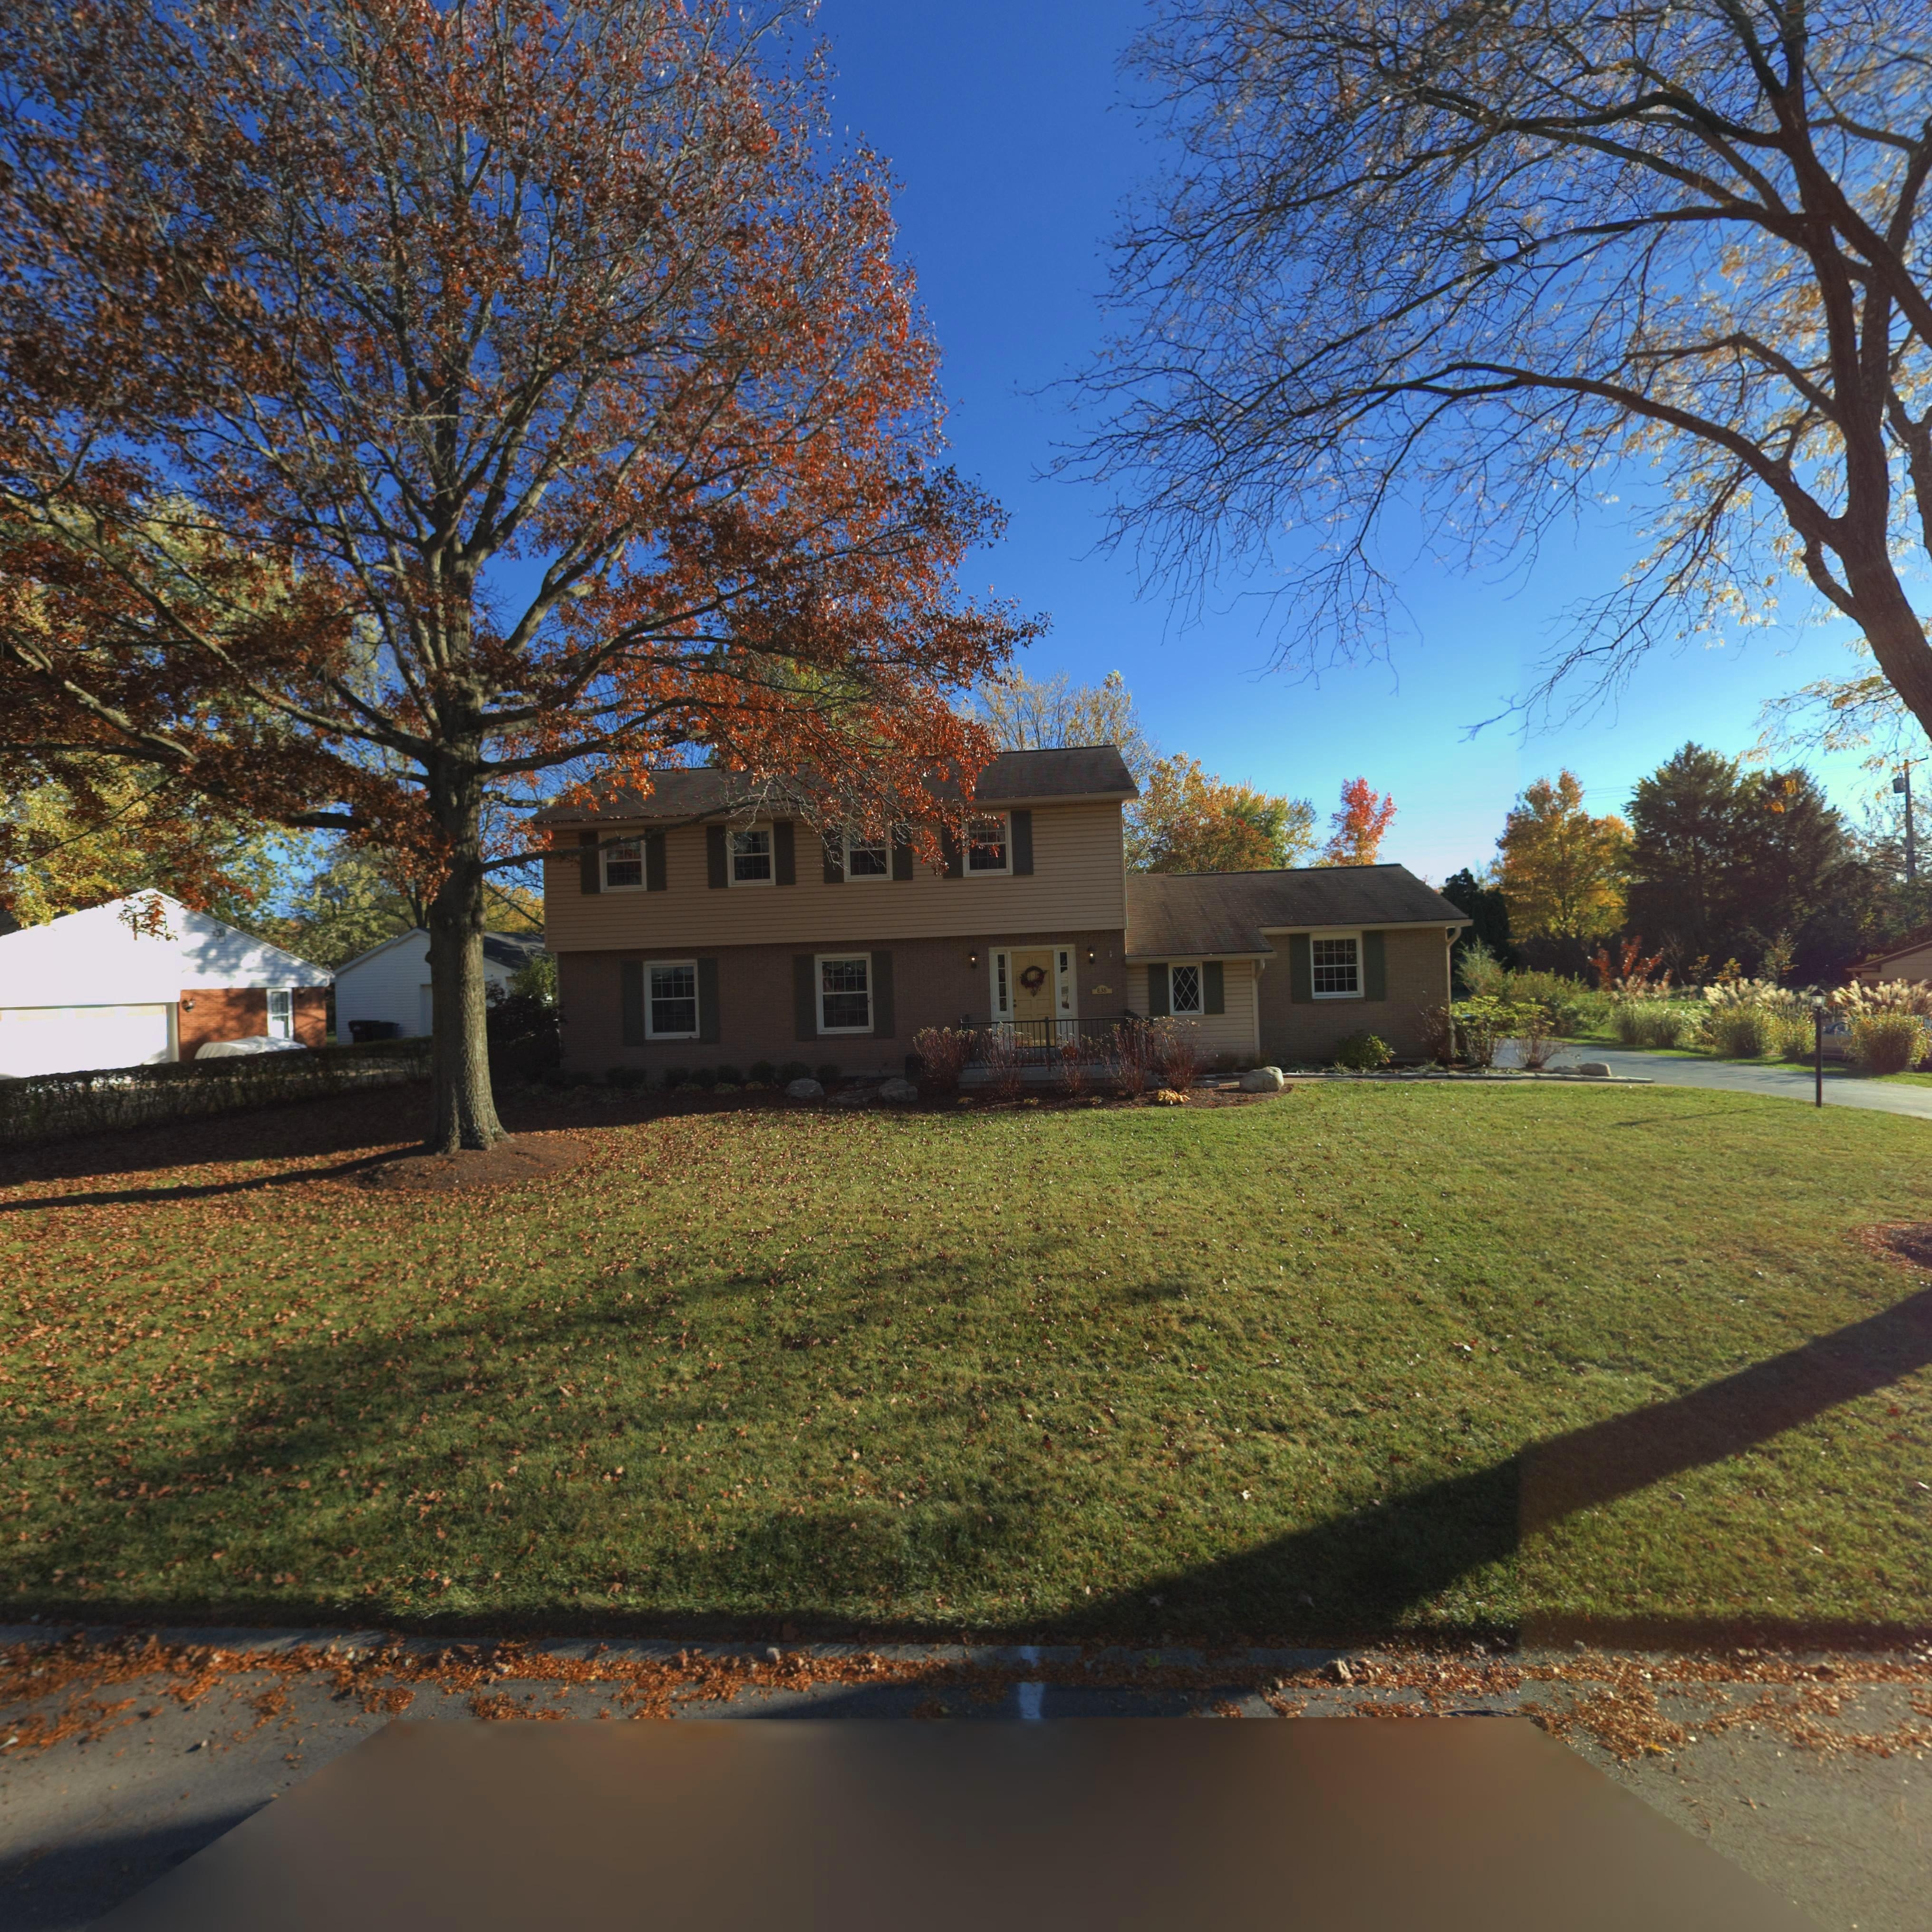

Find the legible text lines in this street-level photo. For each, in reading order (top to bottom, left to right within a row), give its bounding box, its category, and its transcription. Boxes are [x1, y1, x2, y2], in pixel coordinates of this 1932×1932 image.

[1096, 987, 1107, 993] StreetNumber: 838